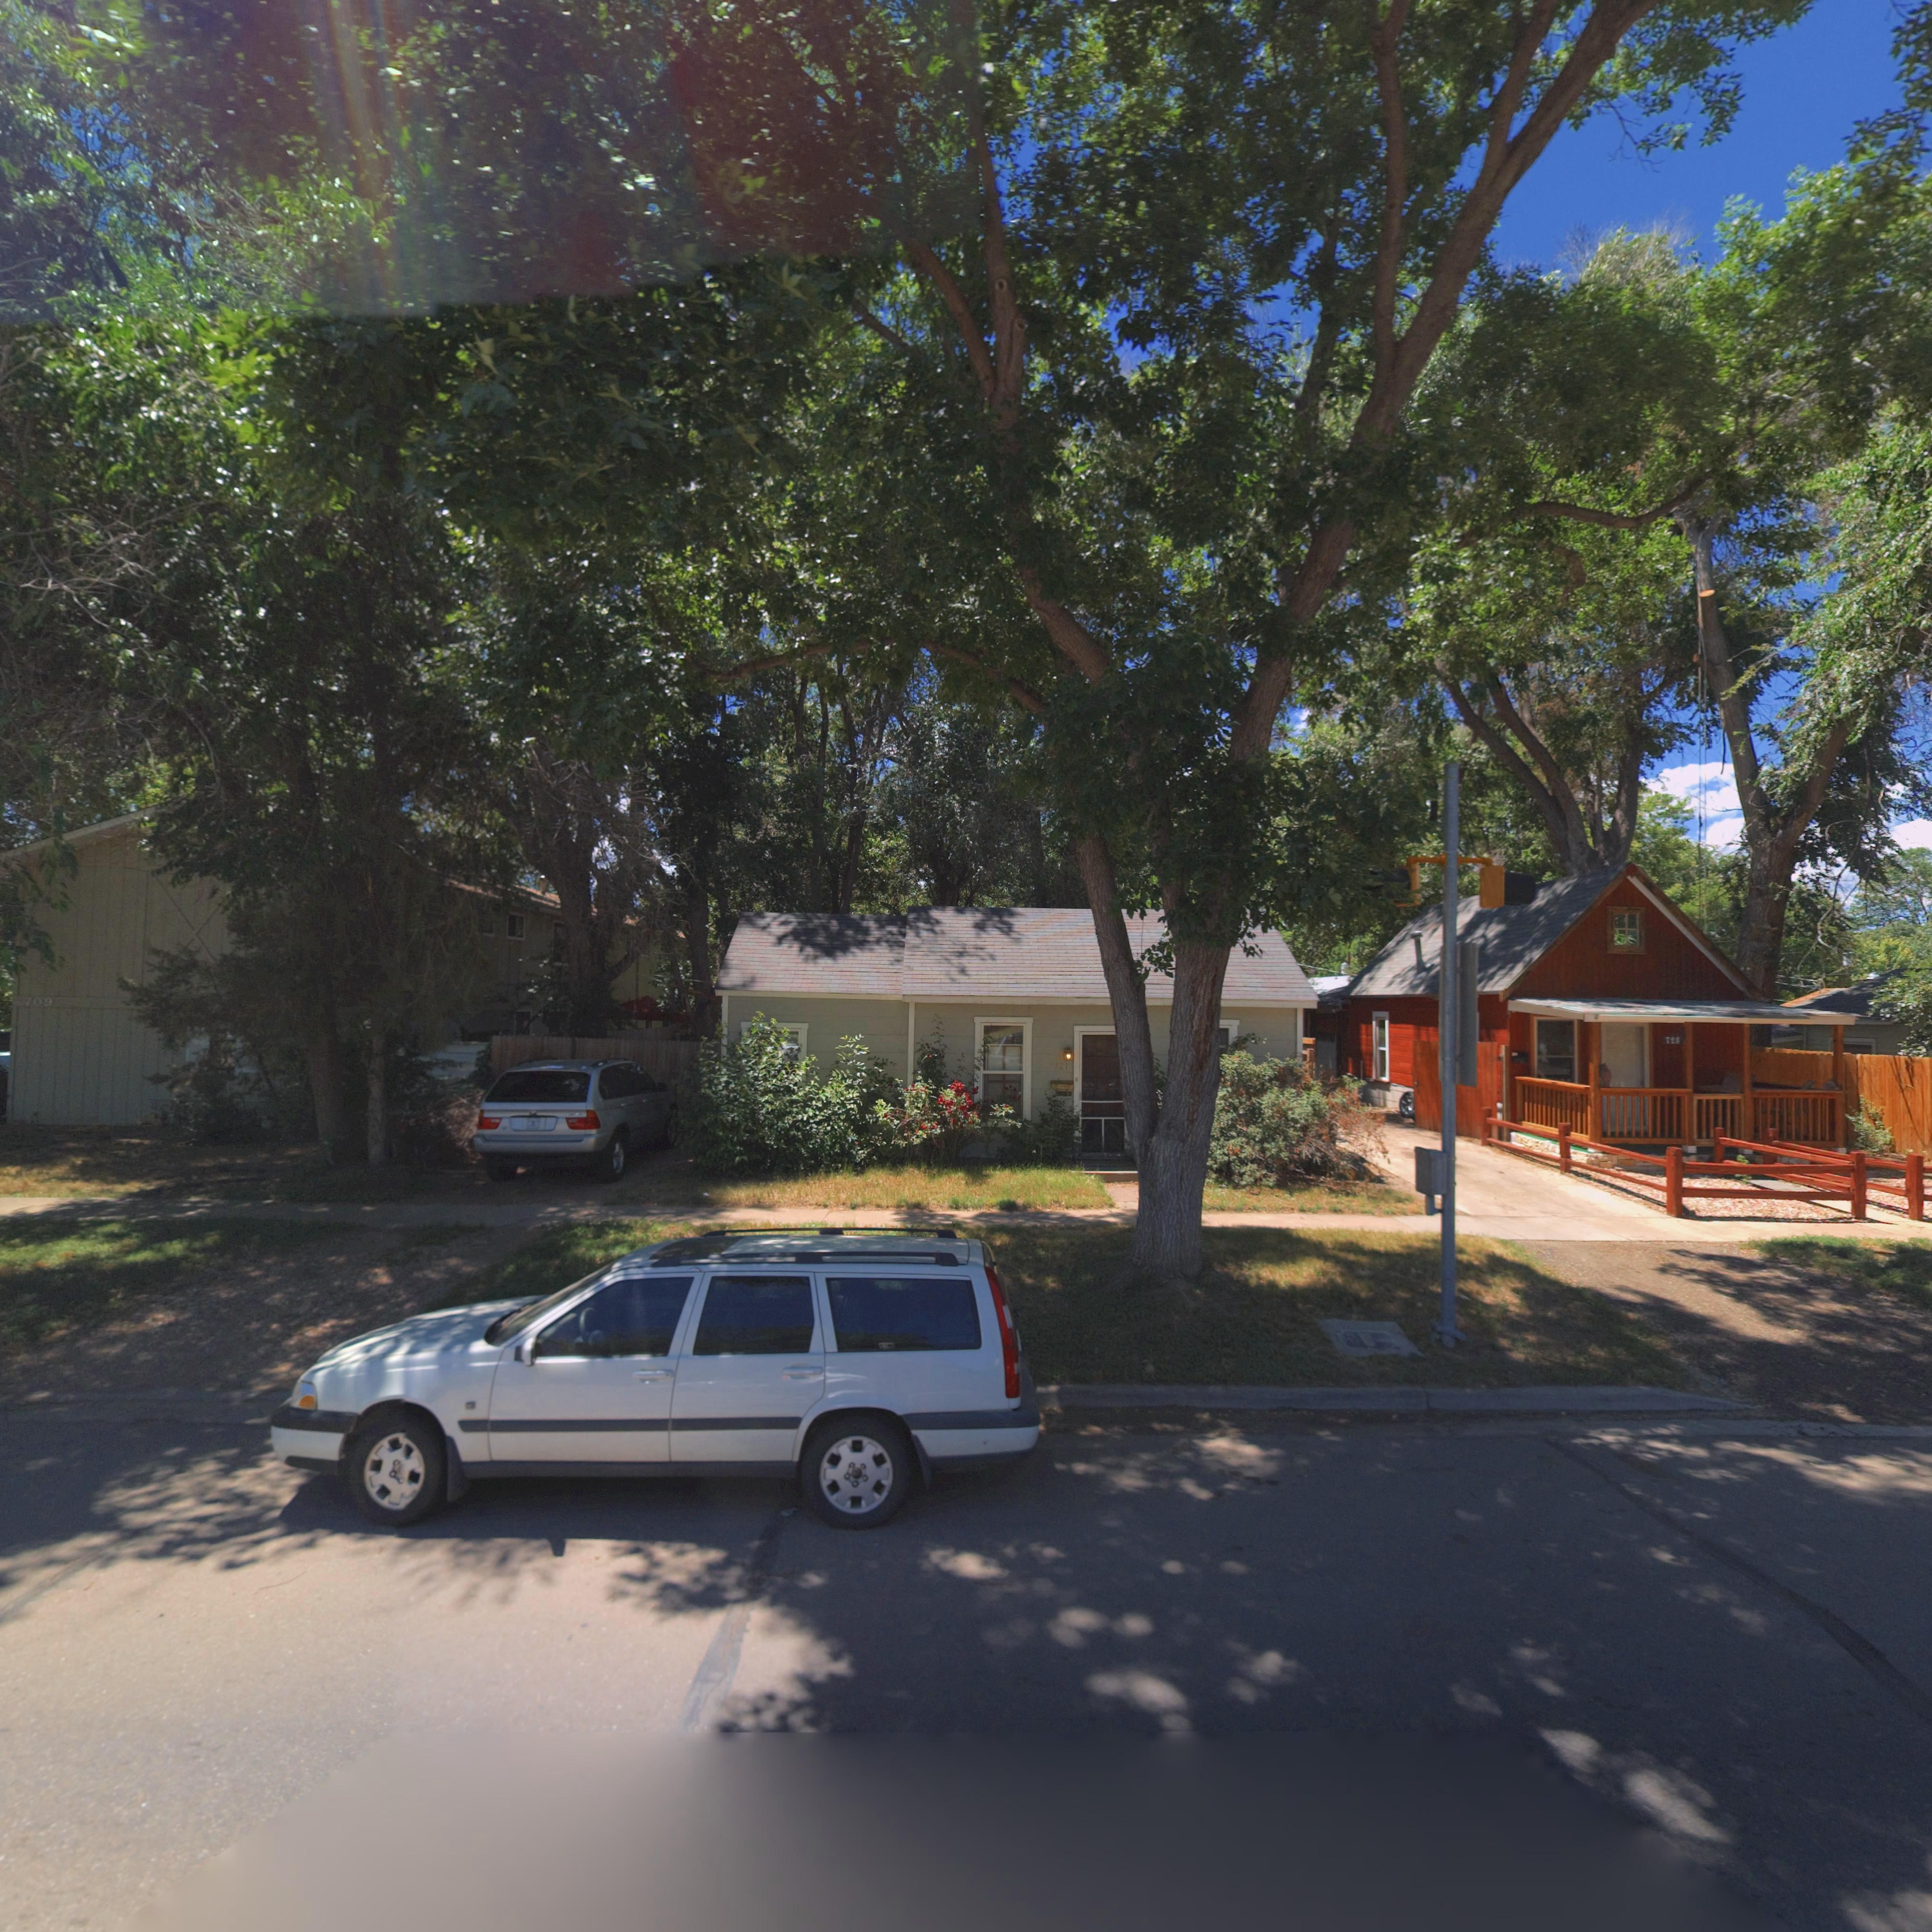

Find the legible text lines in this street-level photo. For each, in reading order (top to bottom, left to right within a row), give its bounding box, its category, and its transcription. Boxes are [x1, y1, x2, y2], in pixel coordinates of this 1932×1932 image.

[23, 996, 53, 1007] StreetNumber: 709
[1665, 1037, 1680, 1044] StreetNumber: 723
[1054, 1063, 1067, 1070] StreetNumber: 721